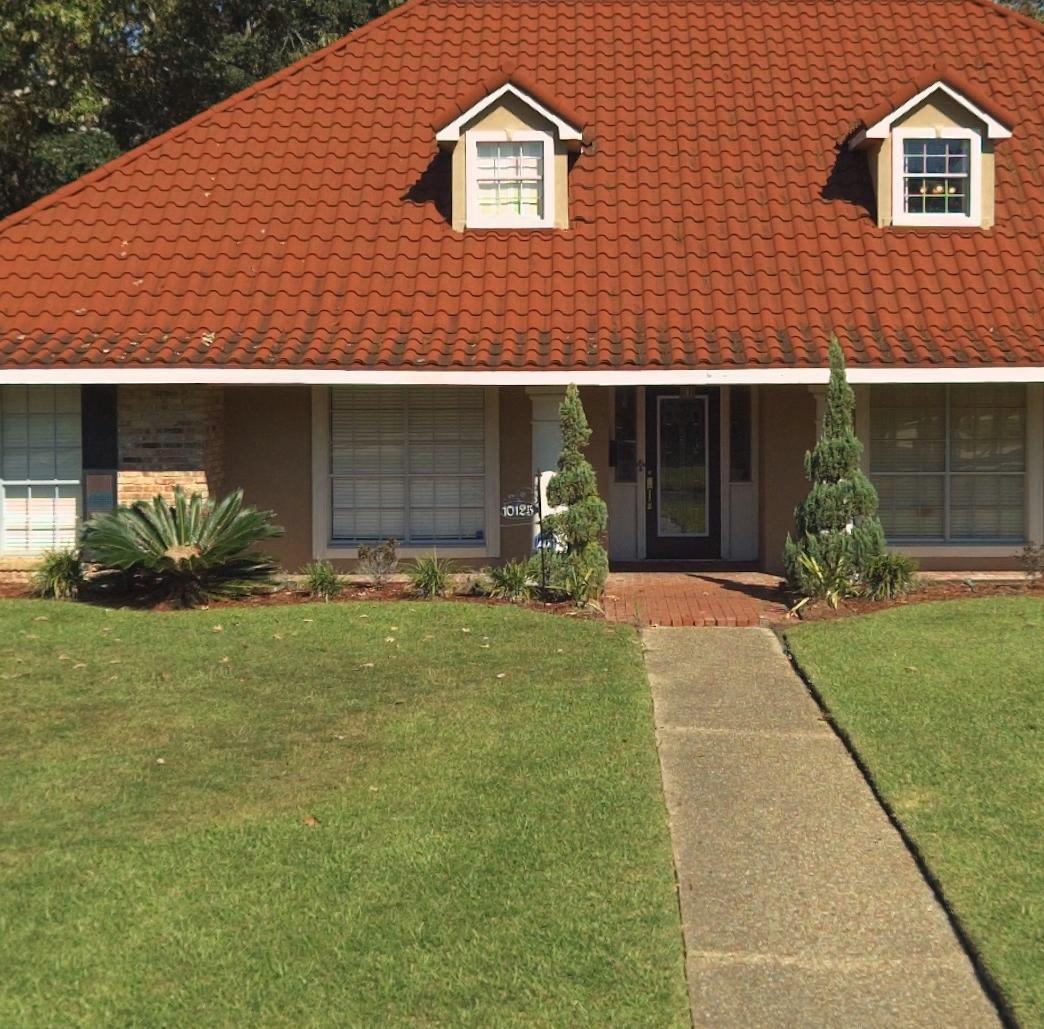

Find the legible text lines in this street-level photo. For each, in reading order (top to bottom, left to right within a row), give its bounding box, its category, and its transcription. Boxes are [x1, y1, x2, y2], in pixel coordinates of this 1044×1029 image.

[500, 503, 536, 518] StreetNumber: 10125